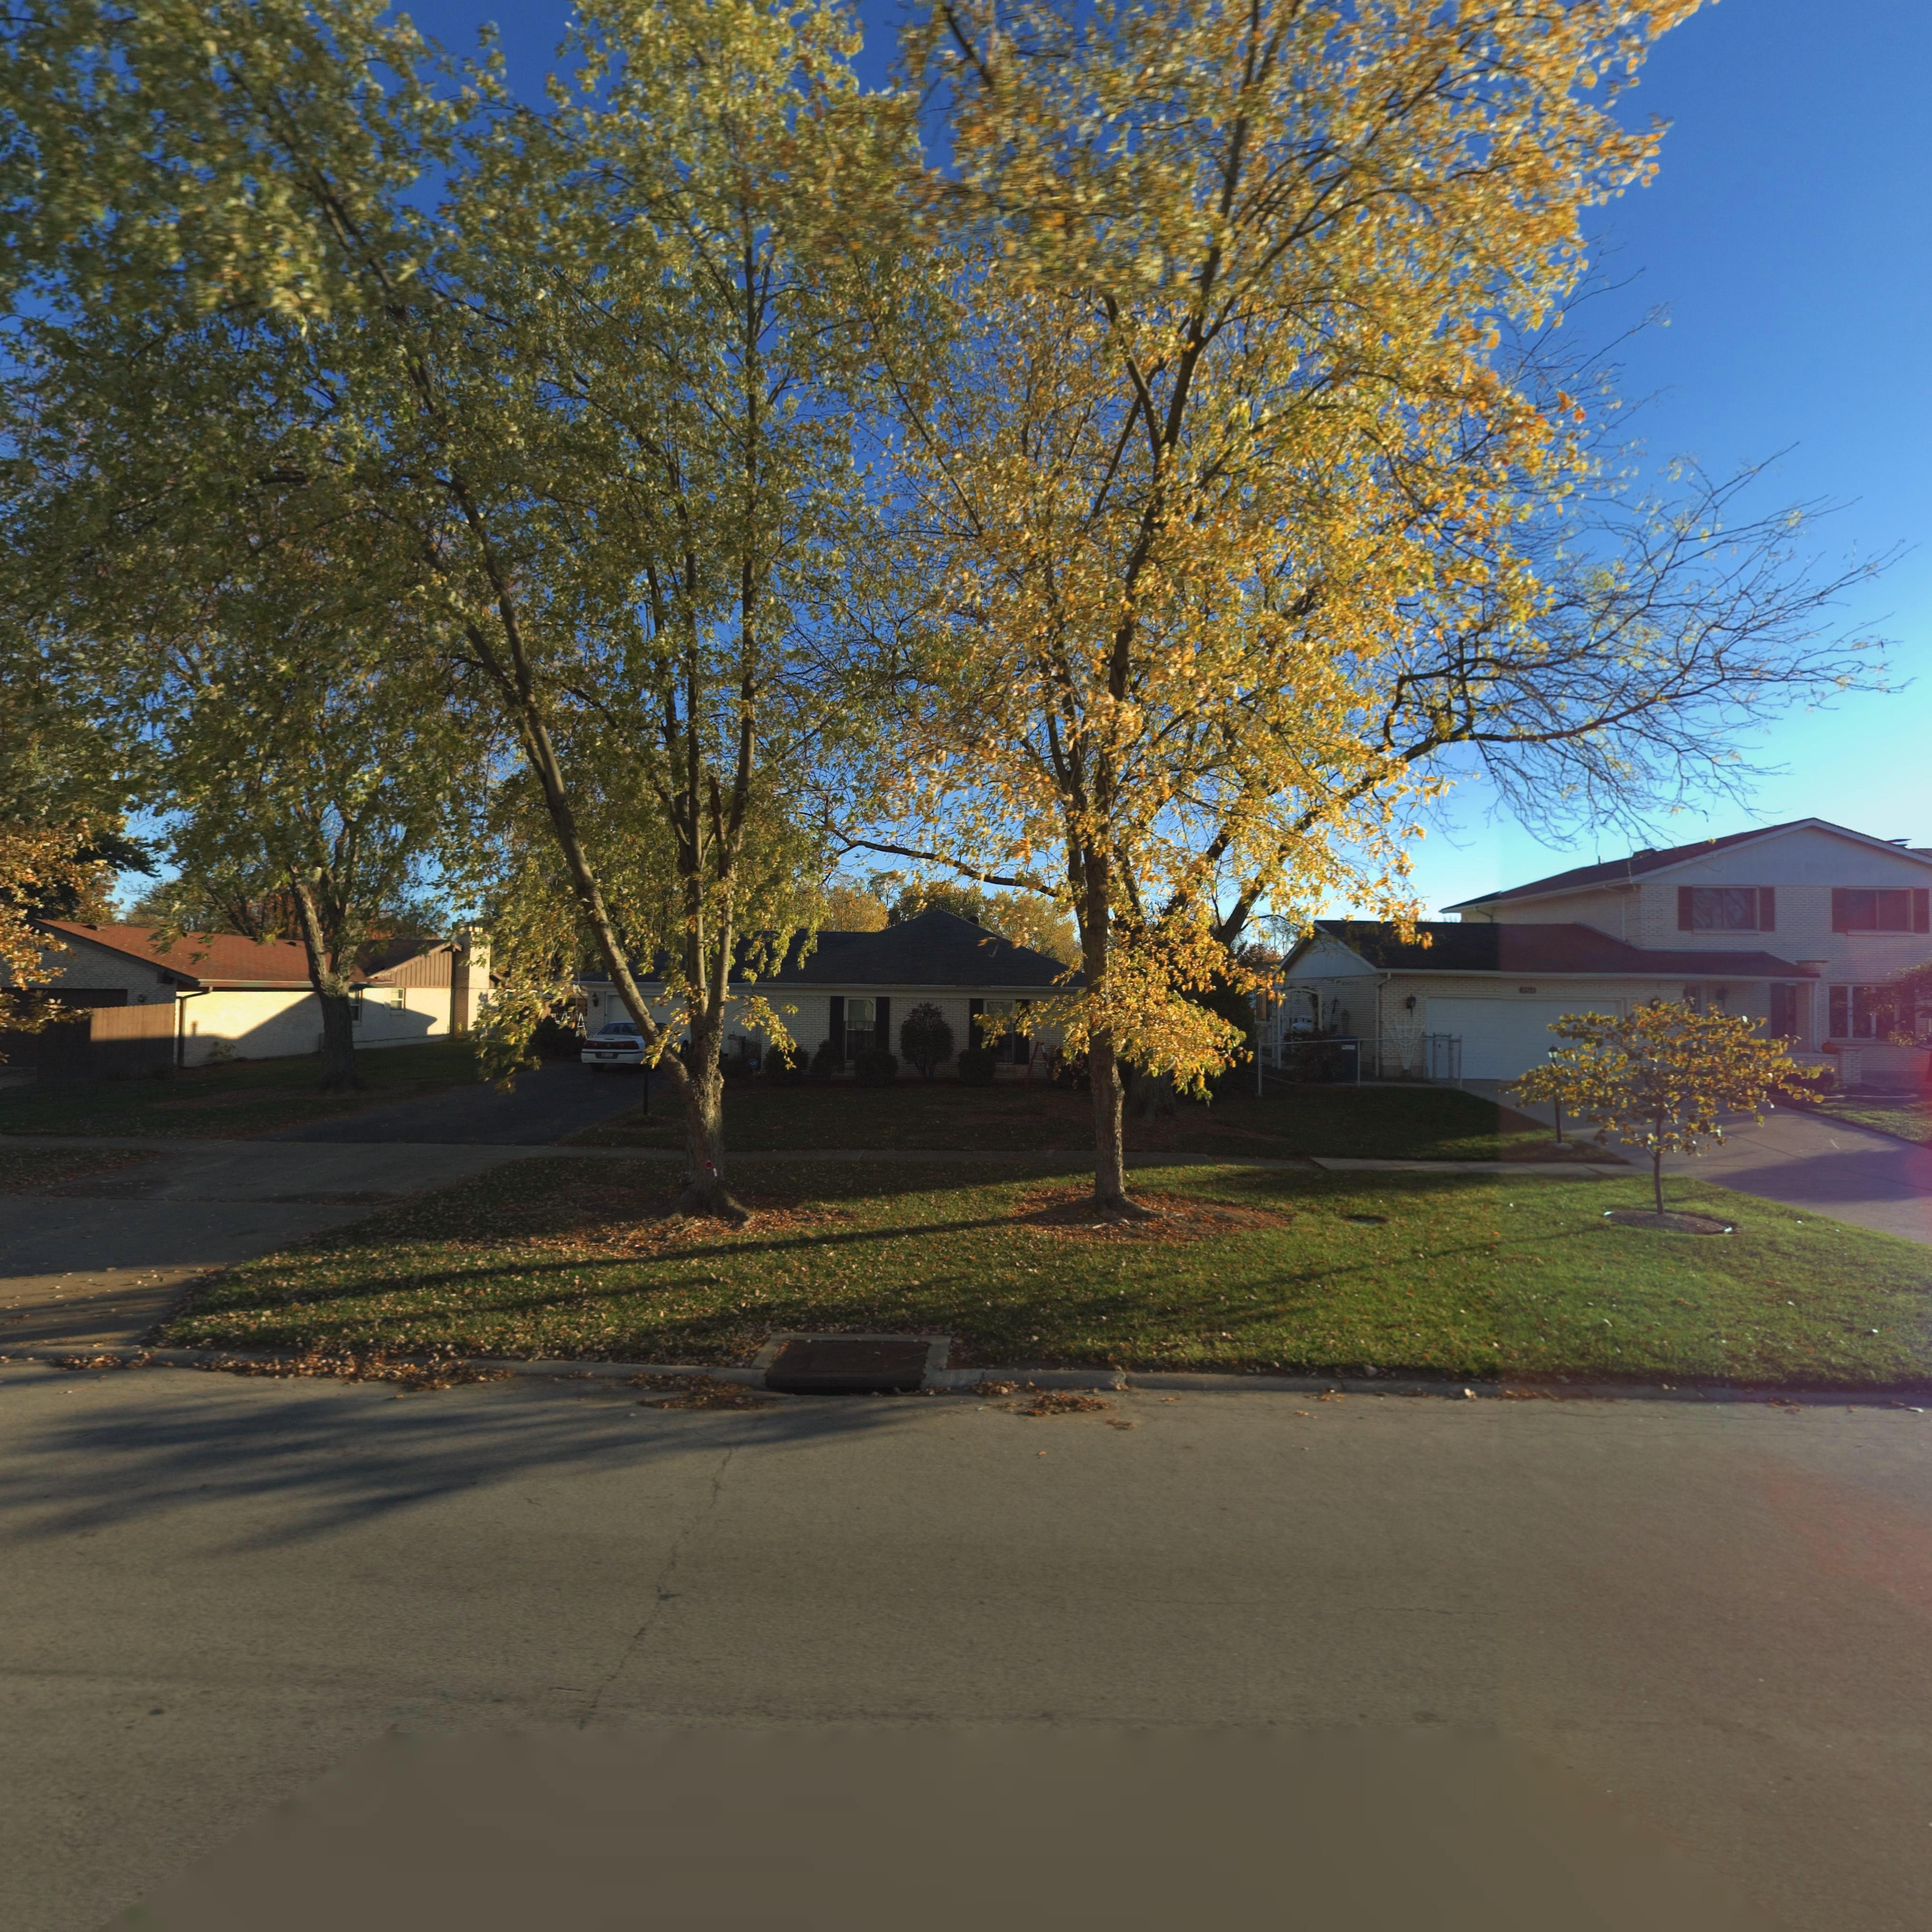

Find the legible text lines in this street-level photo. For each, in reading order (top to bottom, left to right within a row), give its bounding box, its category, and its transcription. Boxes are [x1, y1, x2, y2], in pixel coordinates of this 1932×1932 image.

[1521, 987, 1536, 993] StreetNumber: 49**
[678, 991, 683, 997] StreetNumber: 2